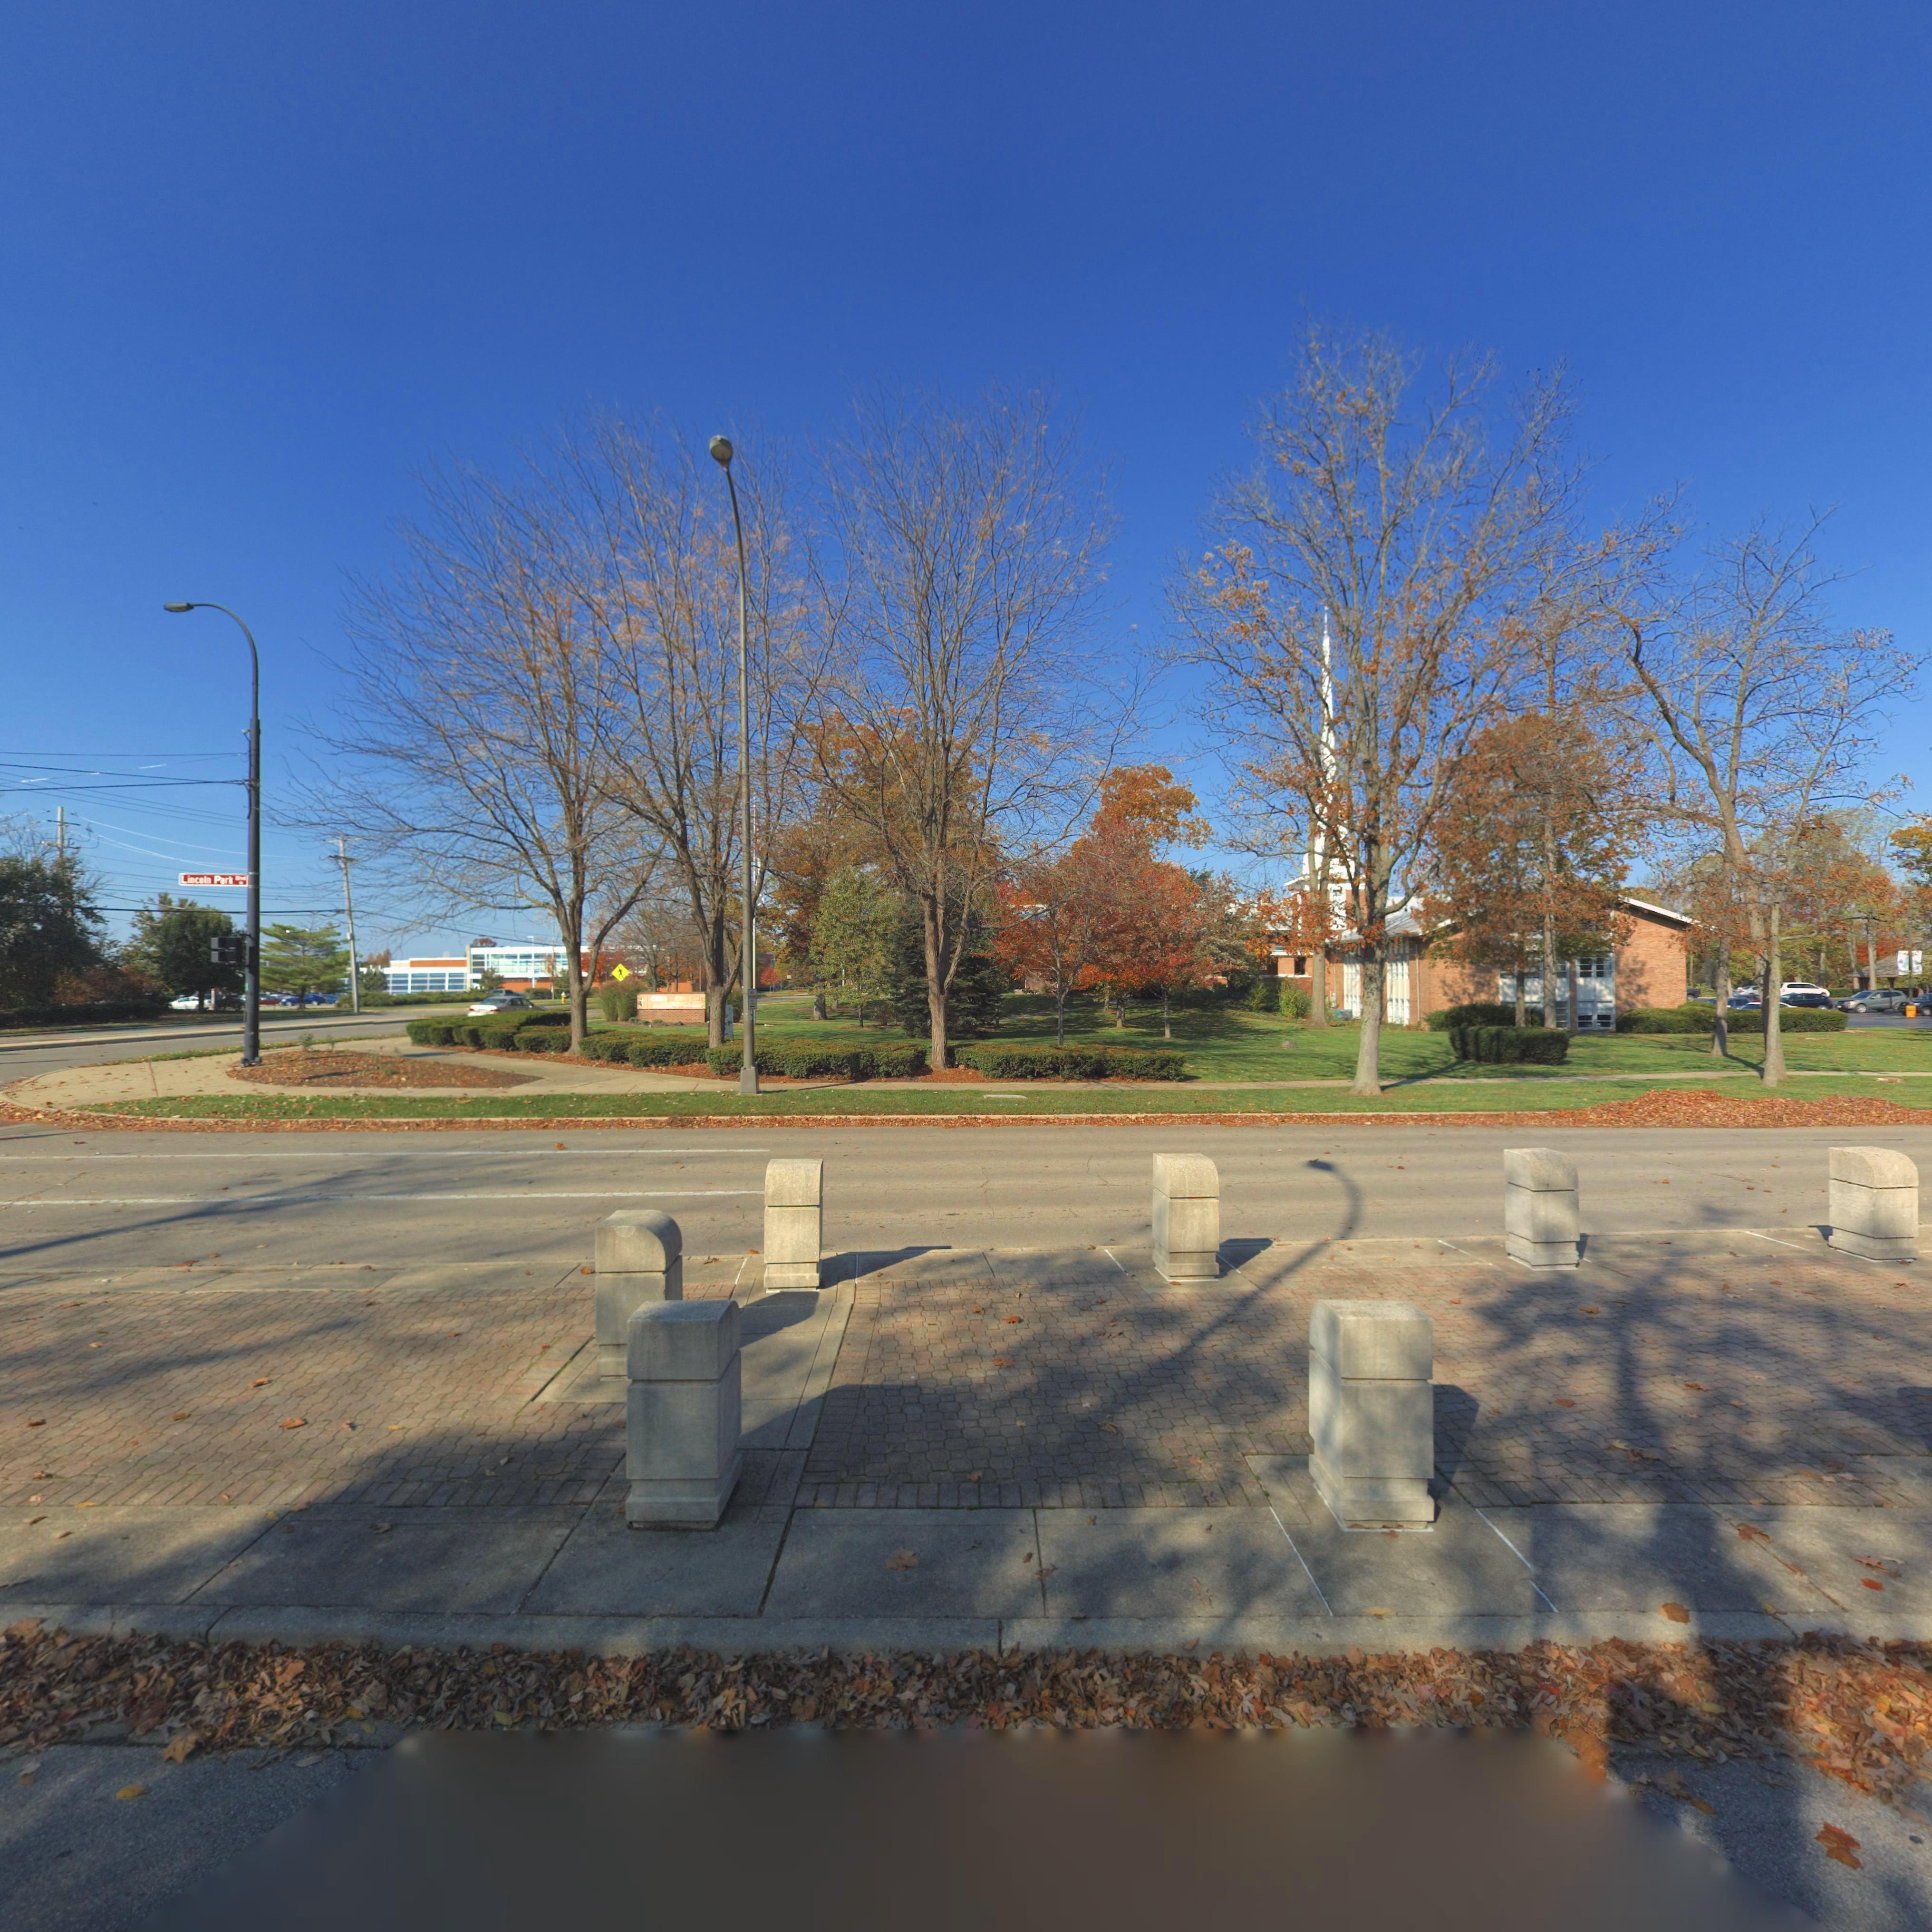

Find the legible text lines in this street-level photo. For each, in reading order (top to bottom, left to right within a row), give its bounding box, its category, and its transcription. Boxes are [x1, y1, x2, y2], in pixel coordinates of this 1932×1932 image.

[180, 874, 247, 884] StreetName: Lincoln Park Blvd
[750, 990, 754, 995] None: NO
[748, 995, 757, 999] None: PARKING
[750, 999, 754, 1002] None: ANY
[750, 1002, 755, 1005] None: TIME